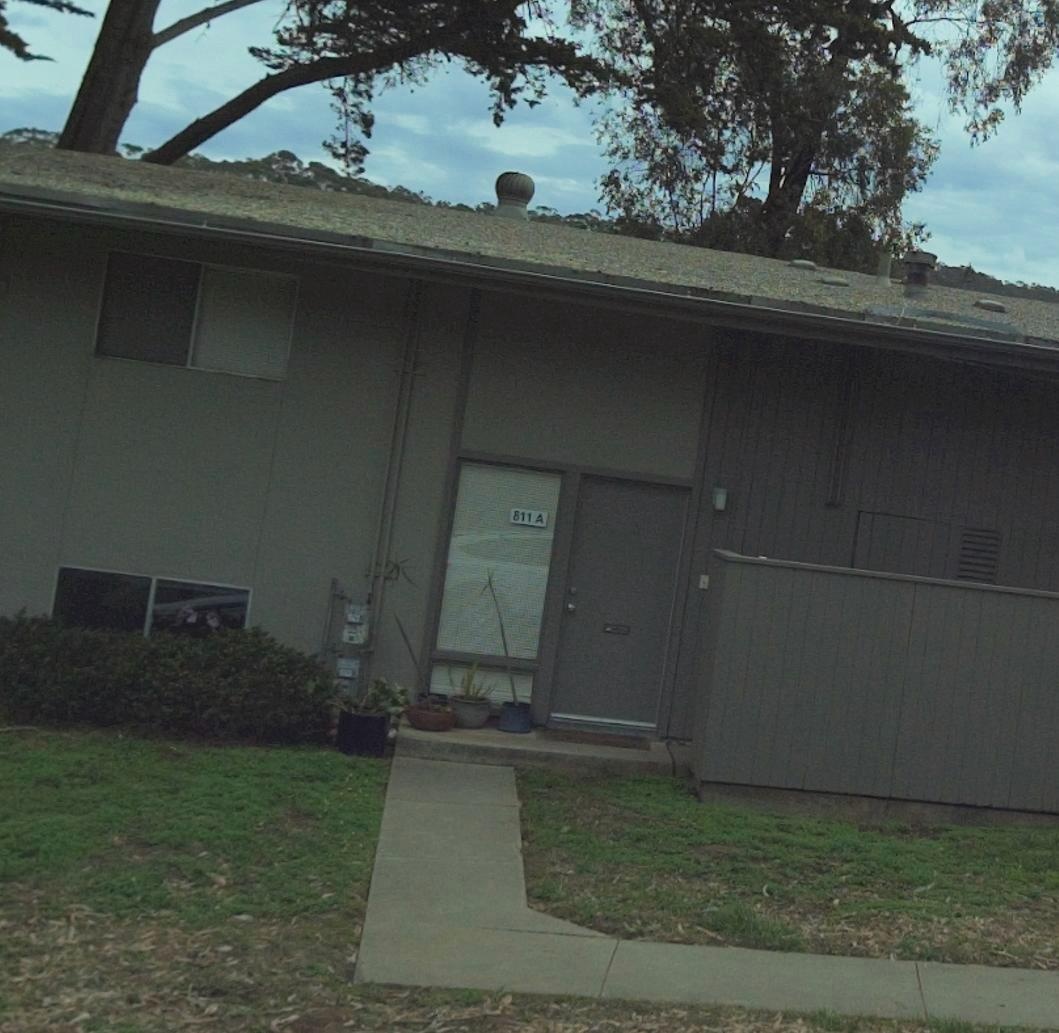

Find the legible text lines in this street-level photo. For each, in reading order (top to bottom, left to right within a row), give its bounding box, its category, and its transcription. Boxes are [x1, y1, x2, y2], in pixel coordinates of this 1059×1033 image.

[512, 508, 547, 526] StreetNumber: 811 A